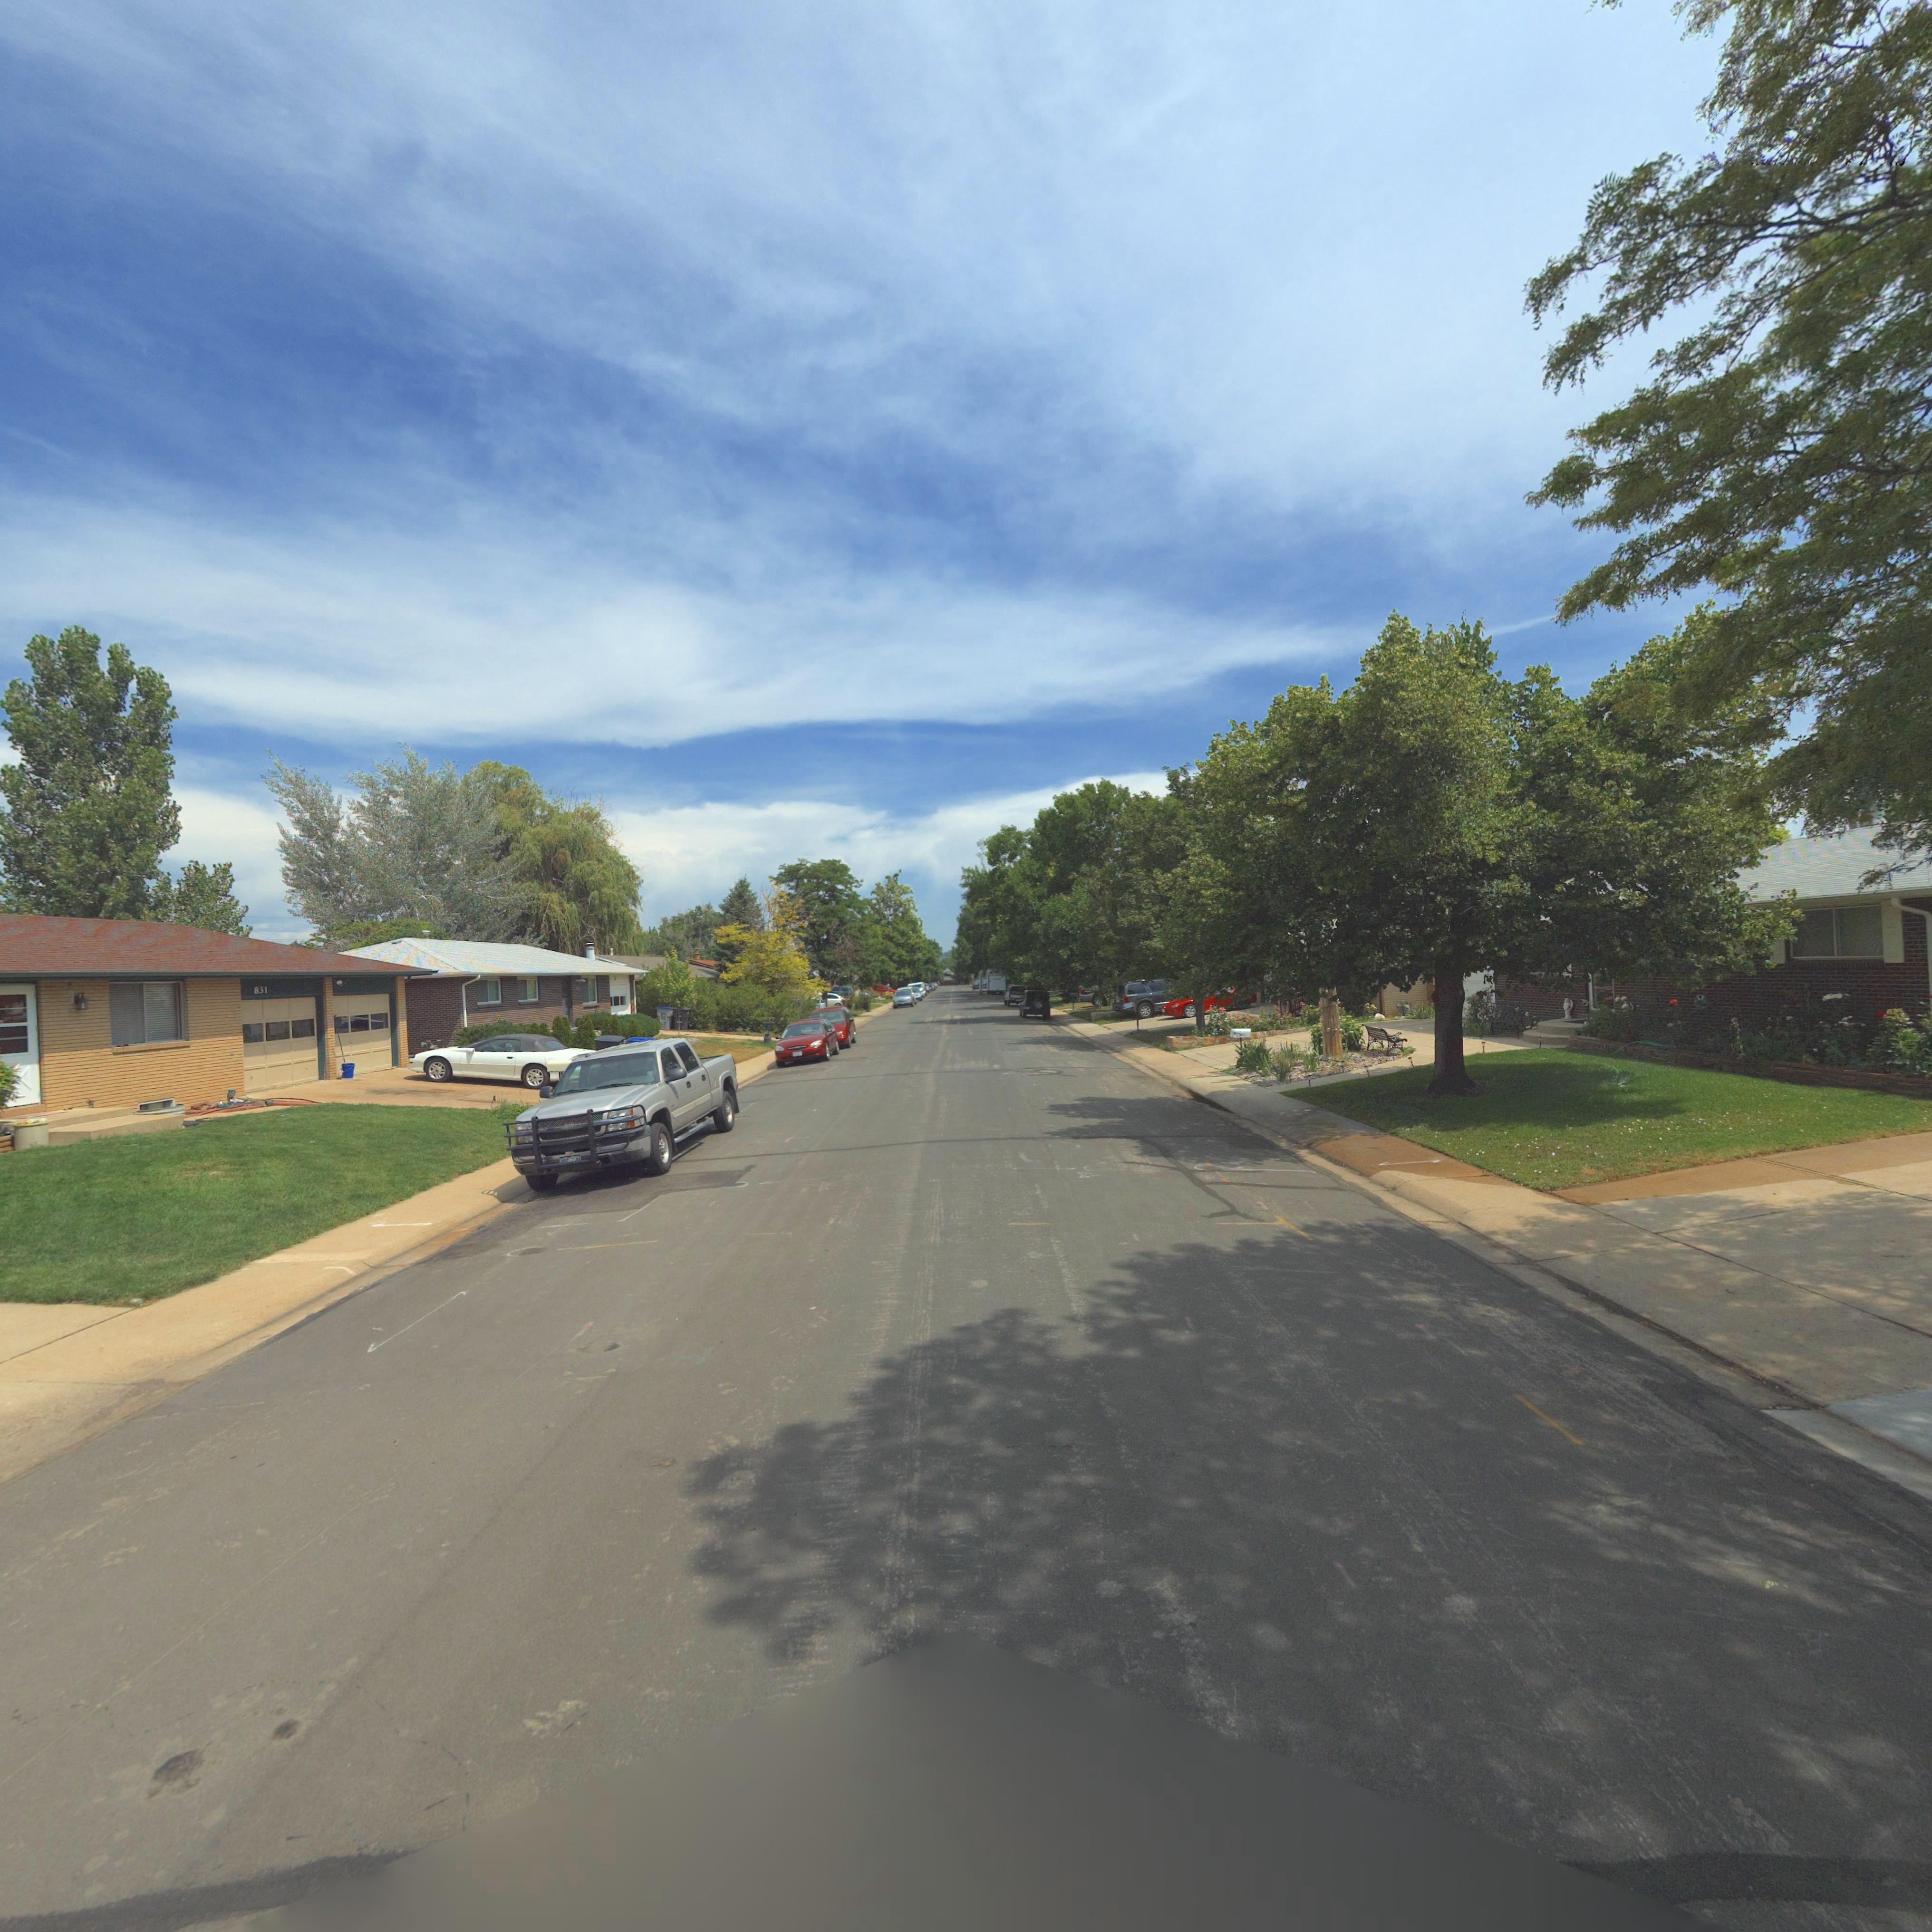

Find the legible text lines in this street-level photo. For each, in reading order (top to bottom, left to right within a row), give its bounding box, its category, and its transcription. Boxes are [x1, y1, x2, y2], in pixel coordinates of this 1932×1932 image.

[254, 986, 268, 994] StreetNumber: 831